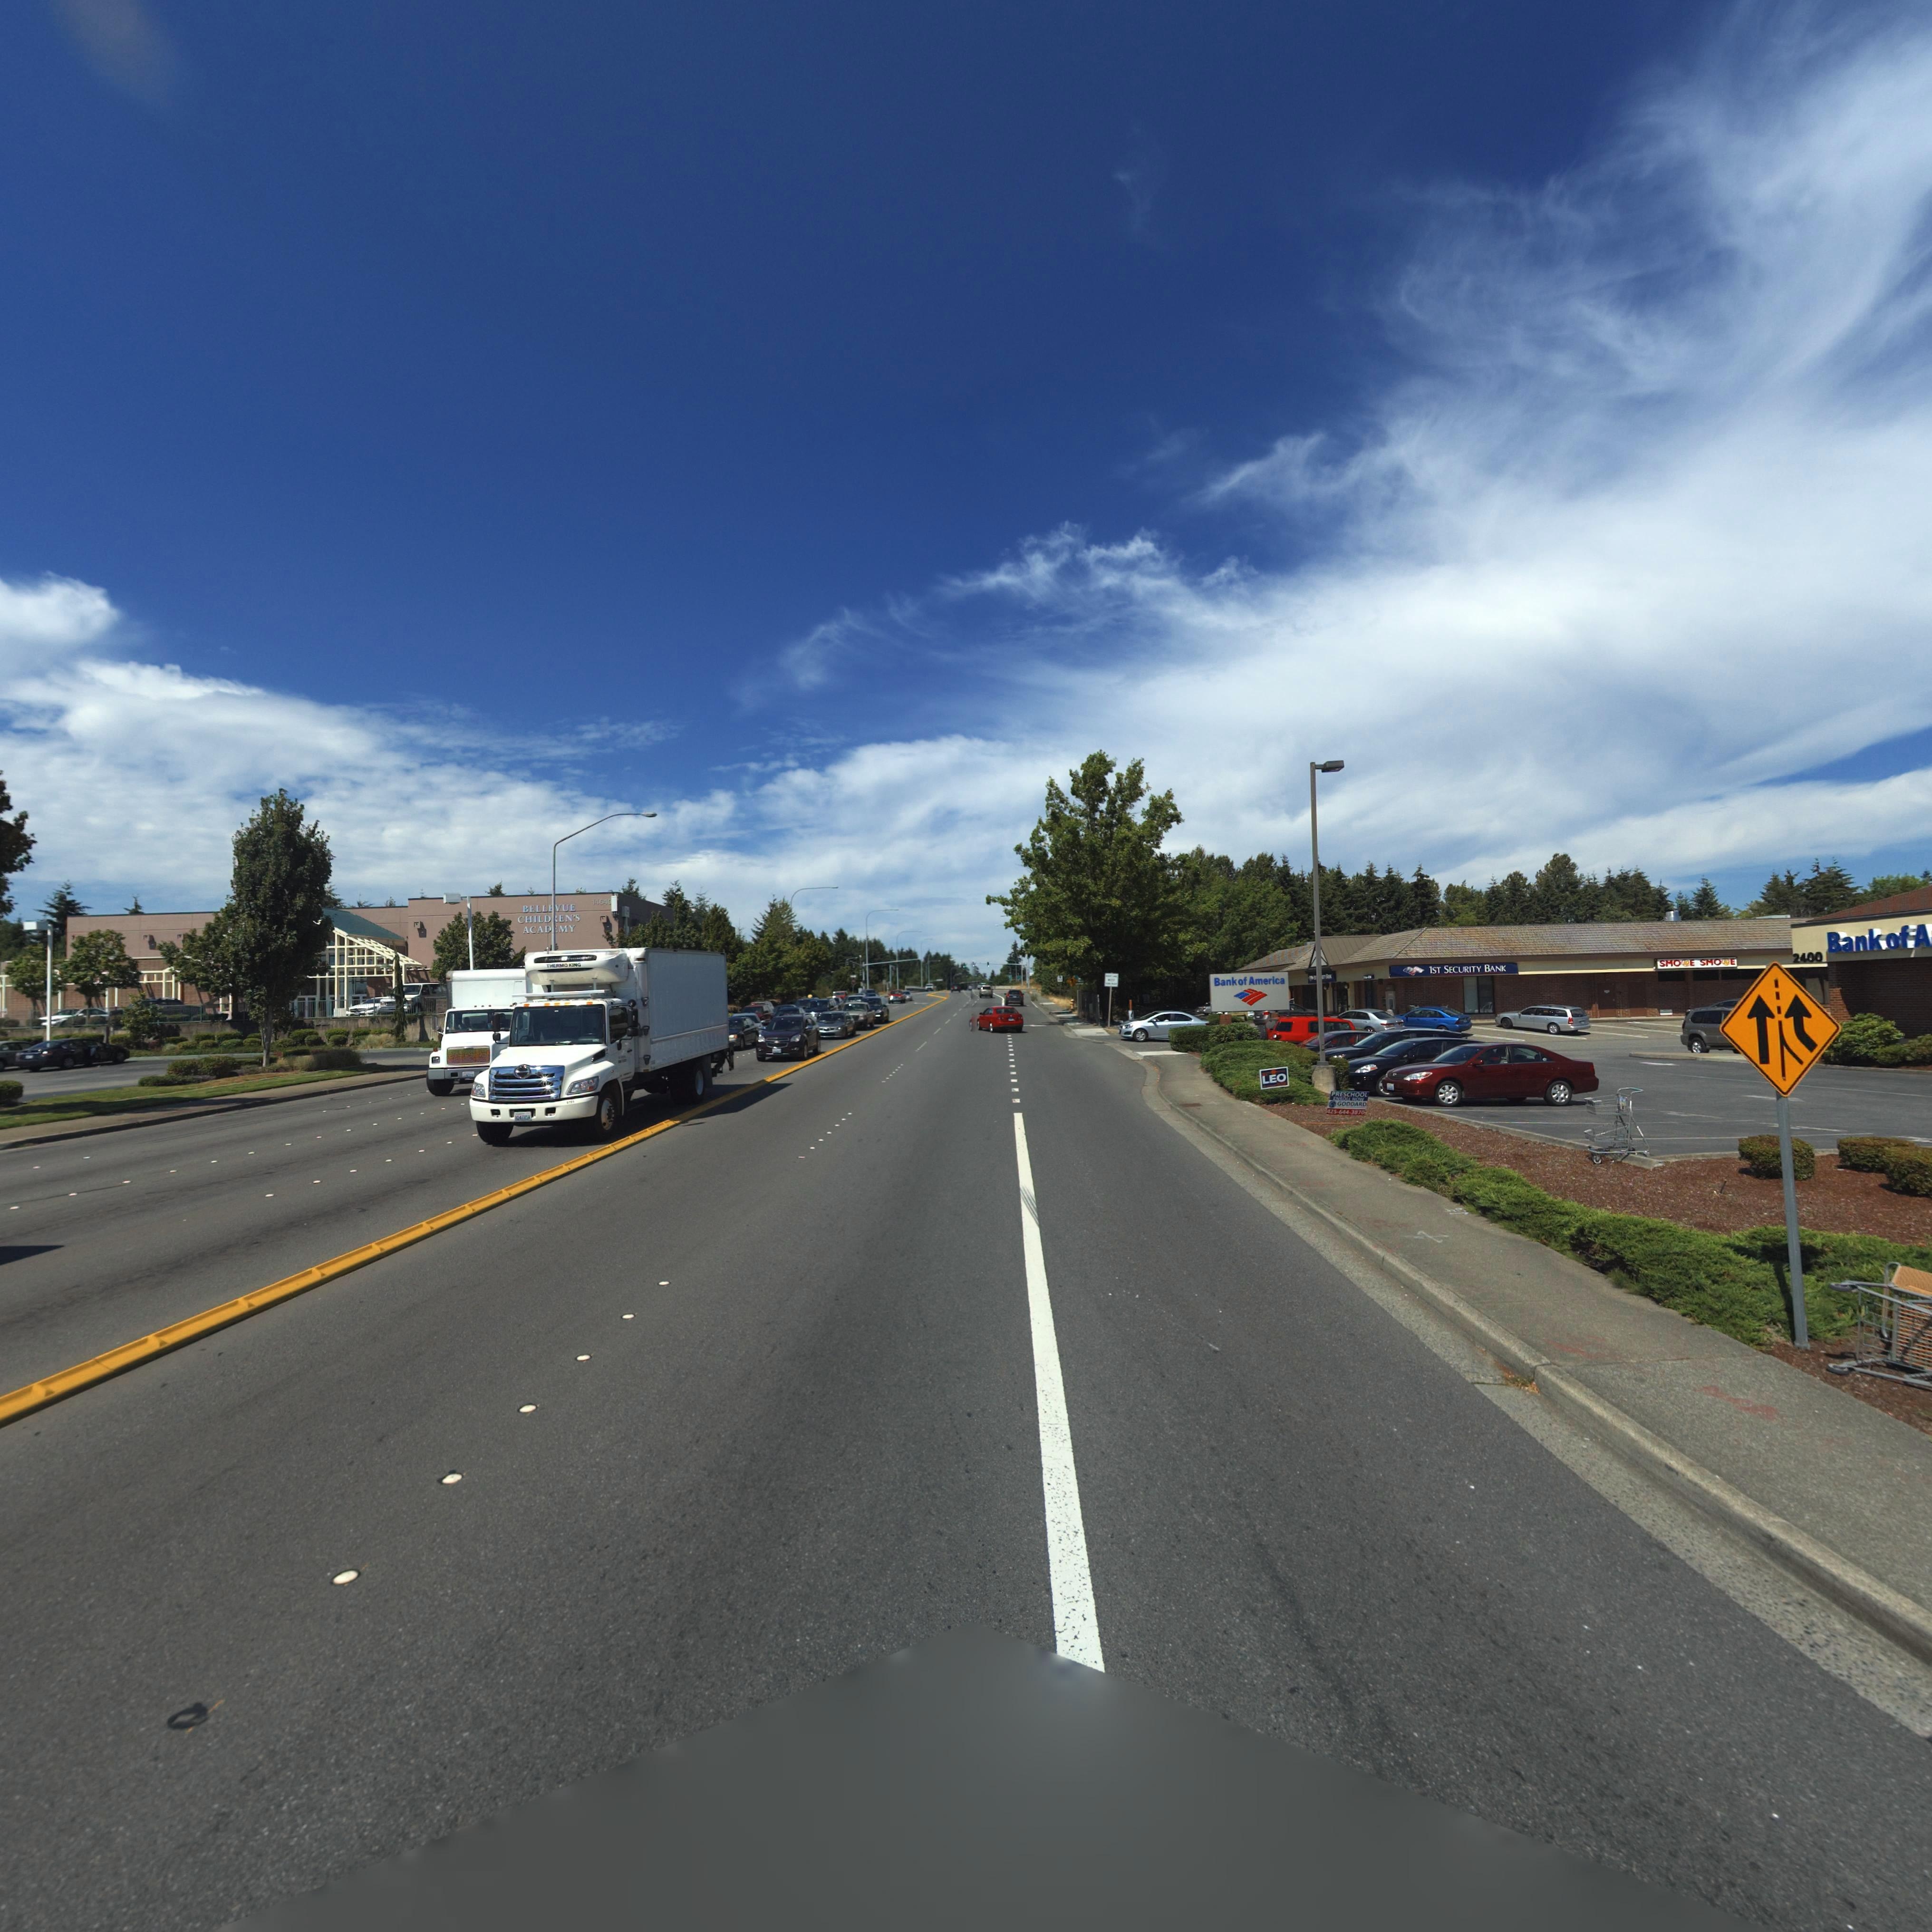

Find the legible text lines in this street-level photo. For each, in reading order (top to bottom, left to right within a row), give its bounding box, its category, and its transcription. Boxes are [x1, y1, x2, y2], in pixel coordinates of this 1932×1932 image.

[590, 898, 612, 905] StreetNumber: 19640
[1828, 924, 1931, 952] BusinessName: BankotA
[1428, 963, 1507, 975] None: 1ST SECURITY BANK
[1212, 976, 1286, 987] BusinessName: Bank of America